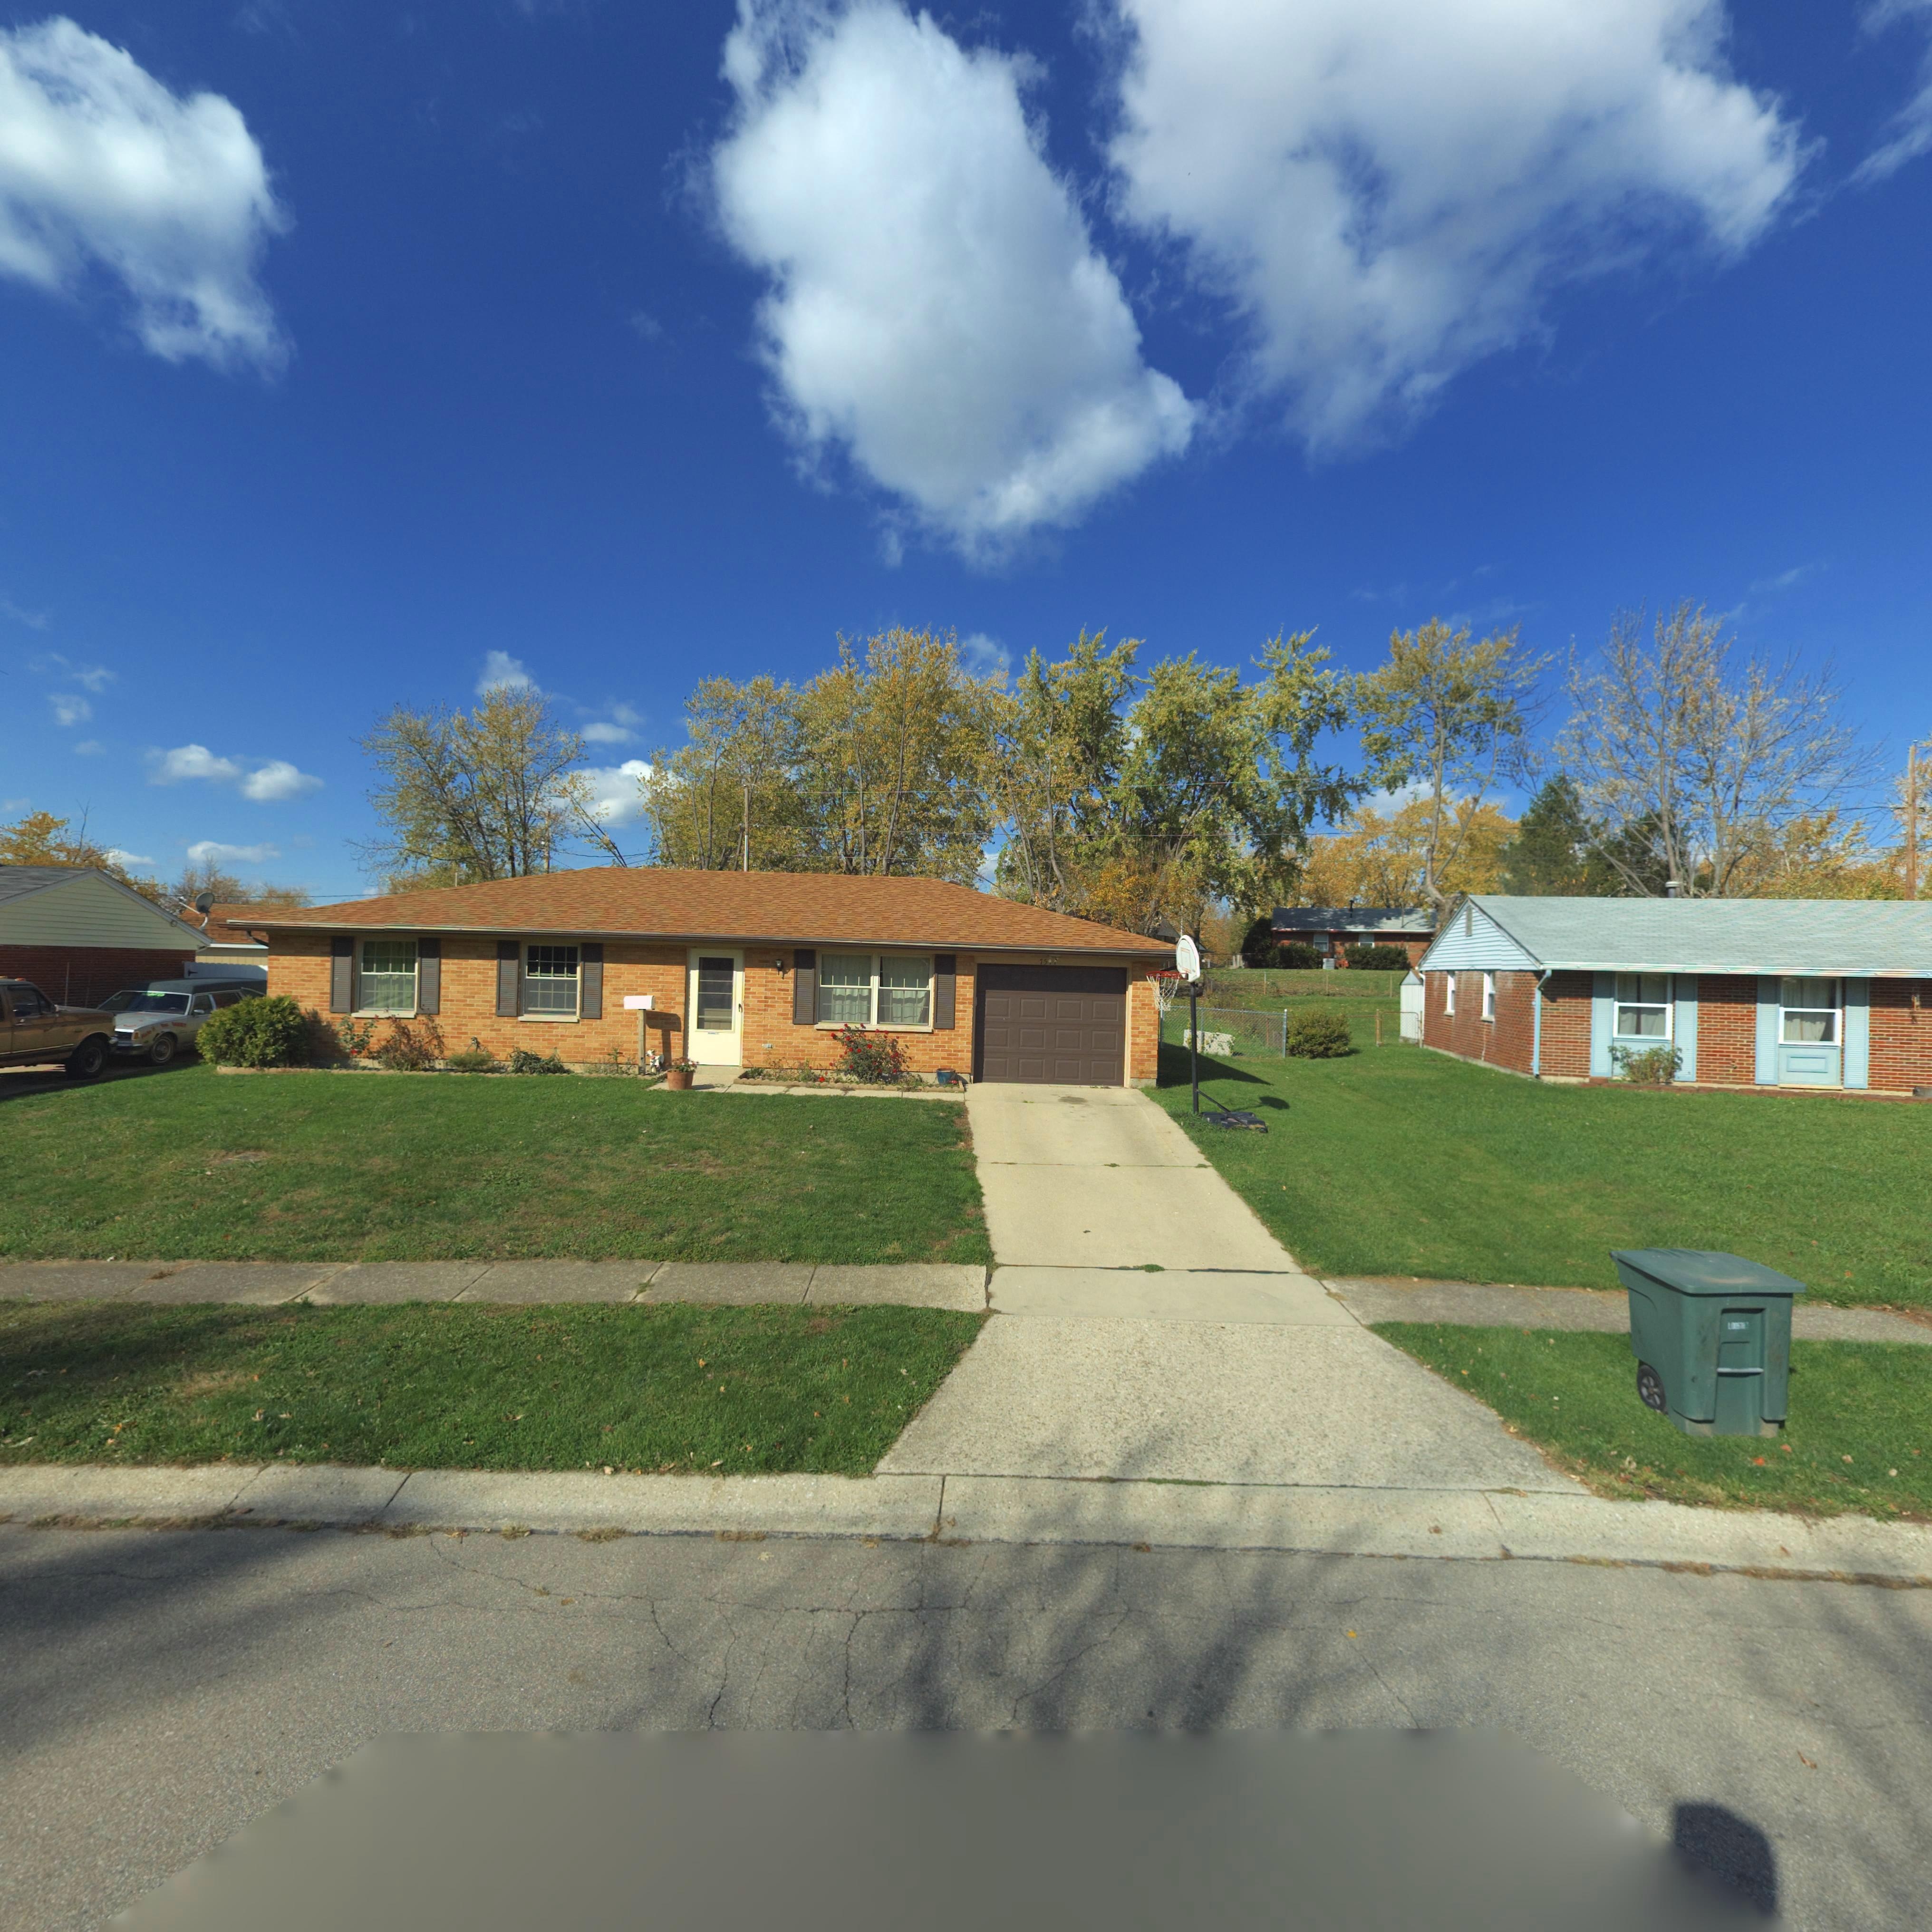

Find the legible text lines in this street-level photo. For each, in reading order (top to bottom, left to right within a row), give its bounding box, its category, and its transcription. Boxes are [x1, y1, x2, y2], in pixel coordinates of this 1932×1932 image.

[1039, 958, 1048, 965] StreetNumber: 75